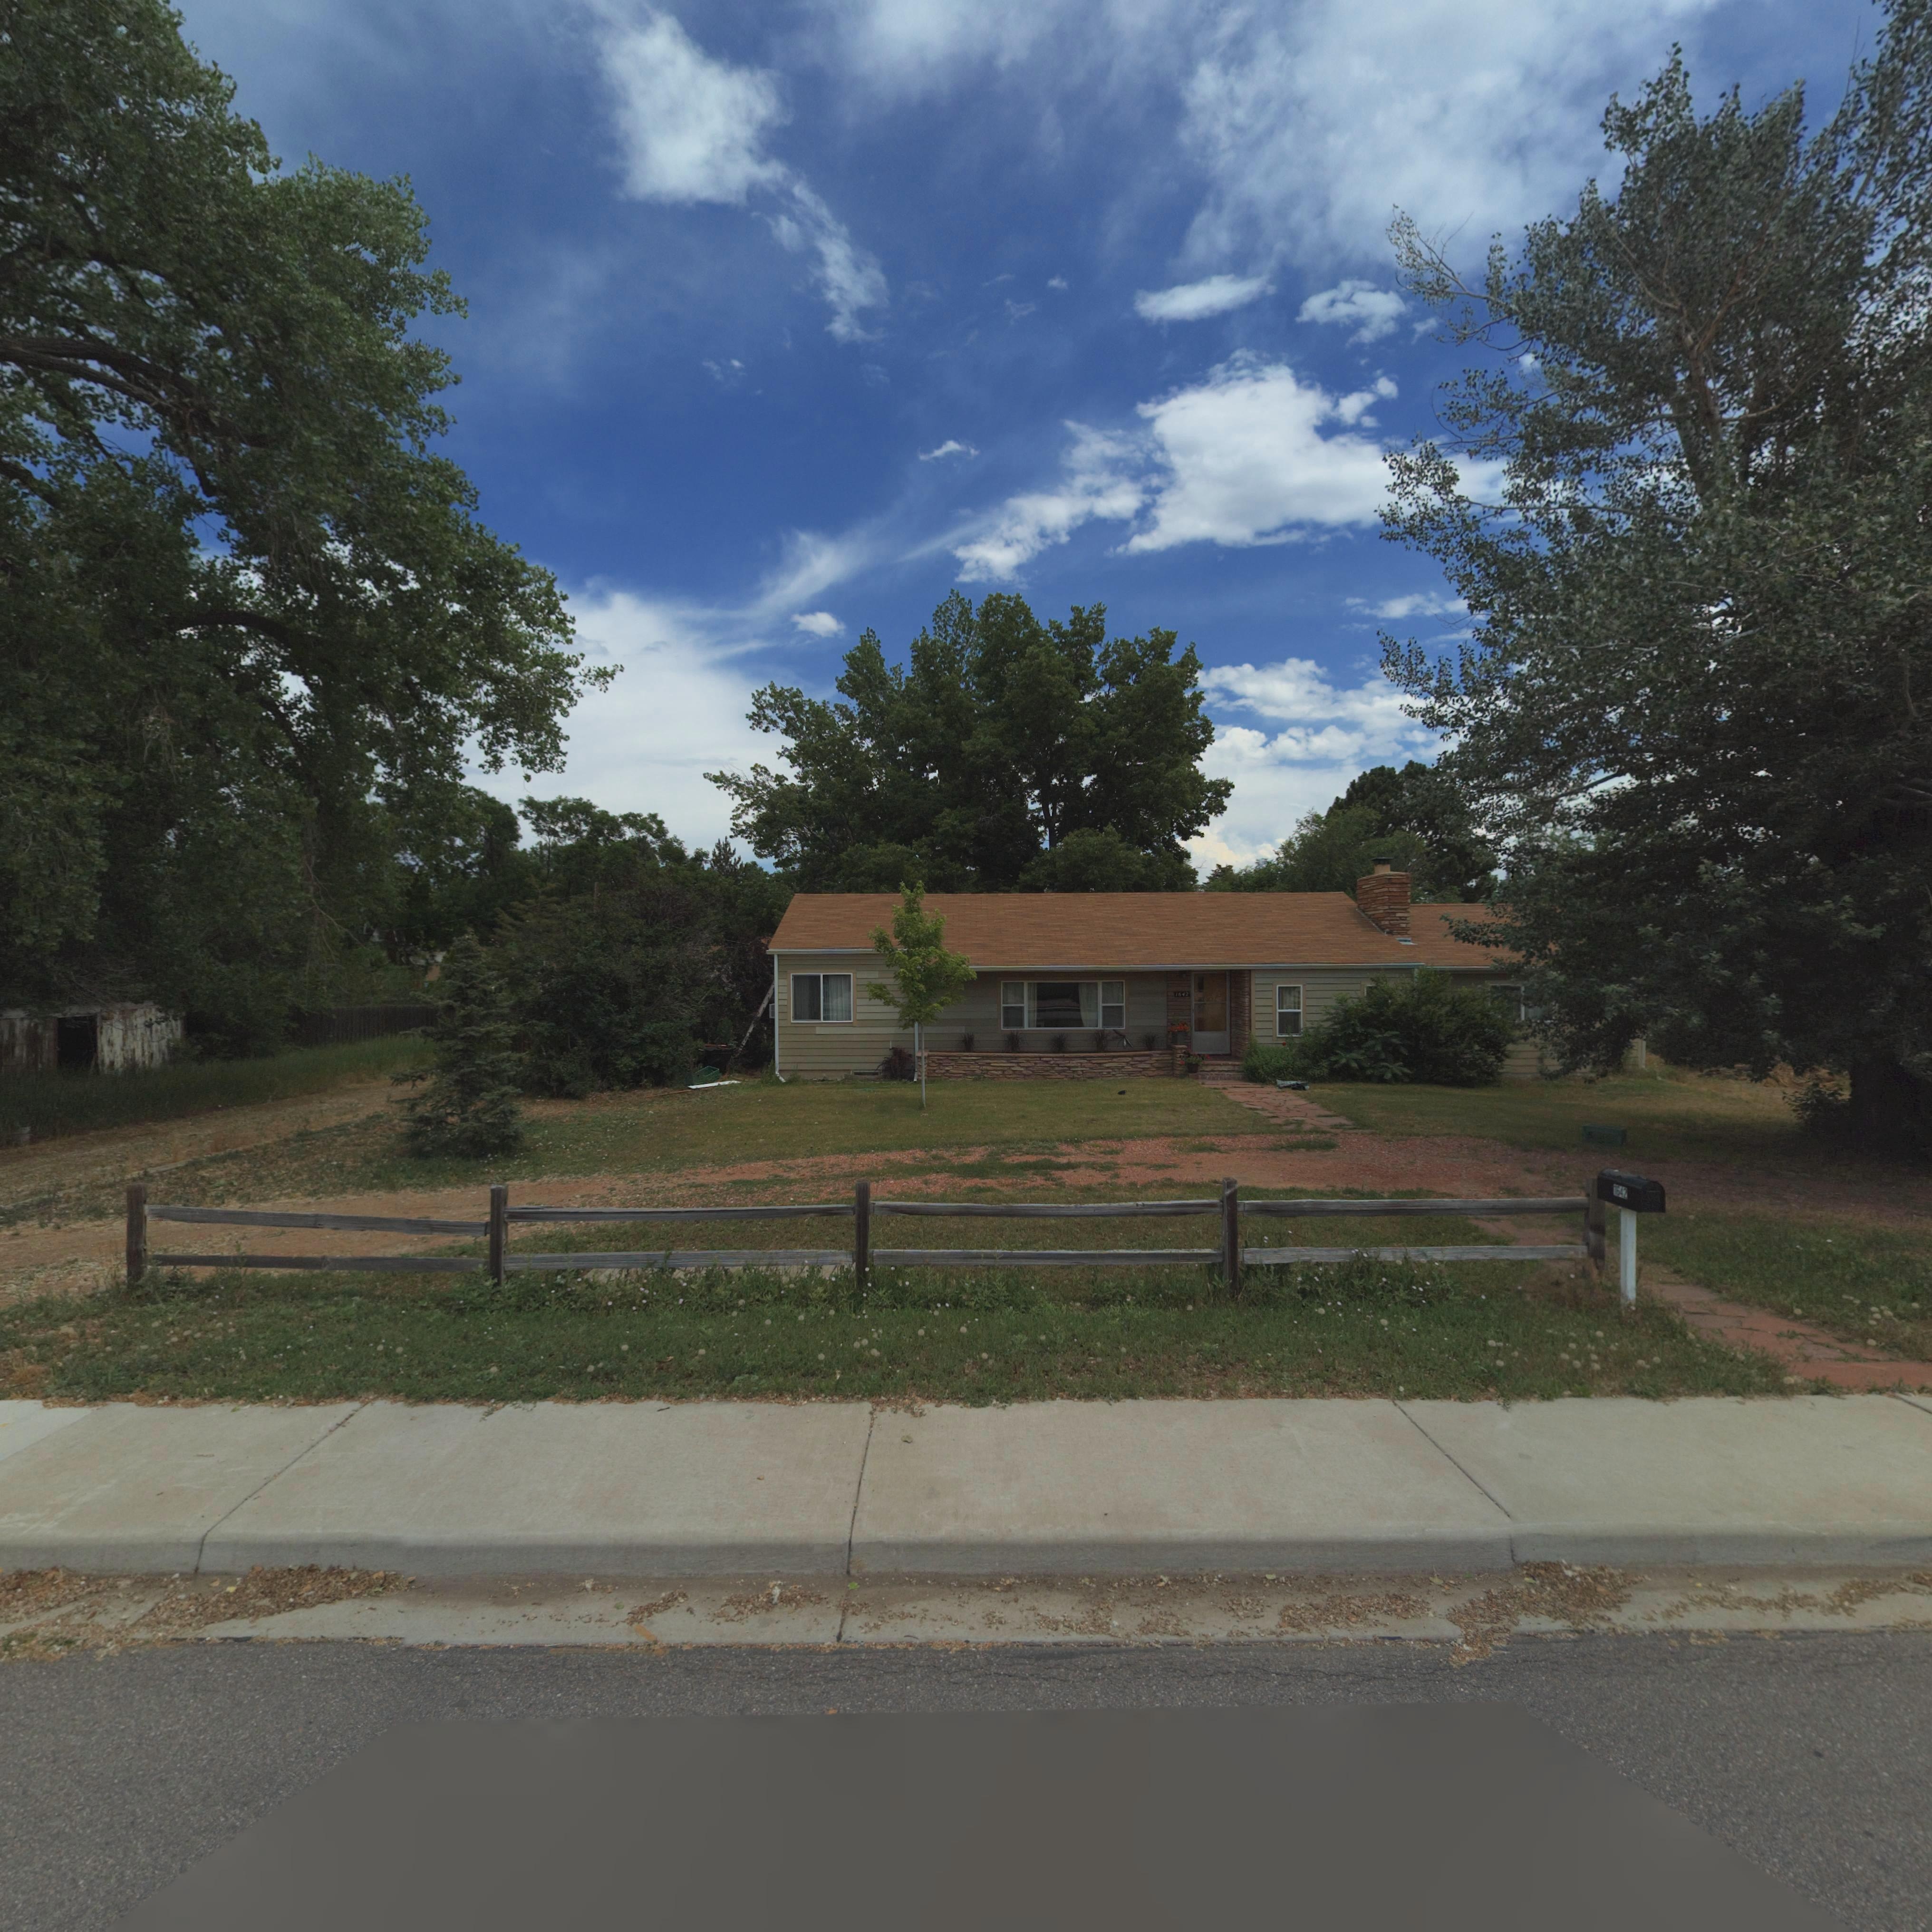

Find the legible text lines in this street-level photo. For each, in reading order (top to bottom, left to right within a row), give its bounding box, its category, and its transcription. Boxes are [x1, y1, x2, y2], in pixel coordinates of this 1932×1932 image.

[1175, 992, 1188, 996] StreetNumber: 1642